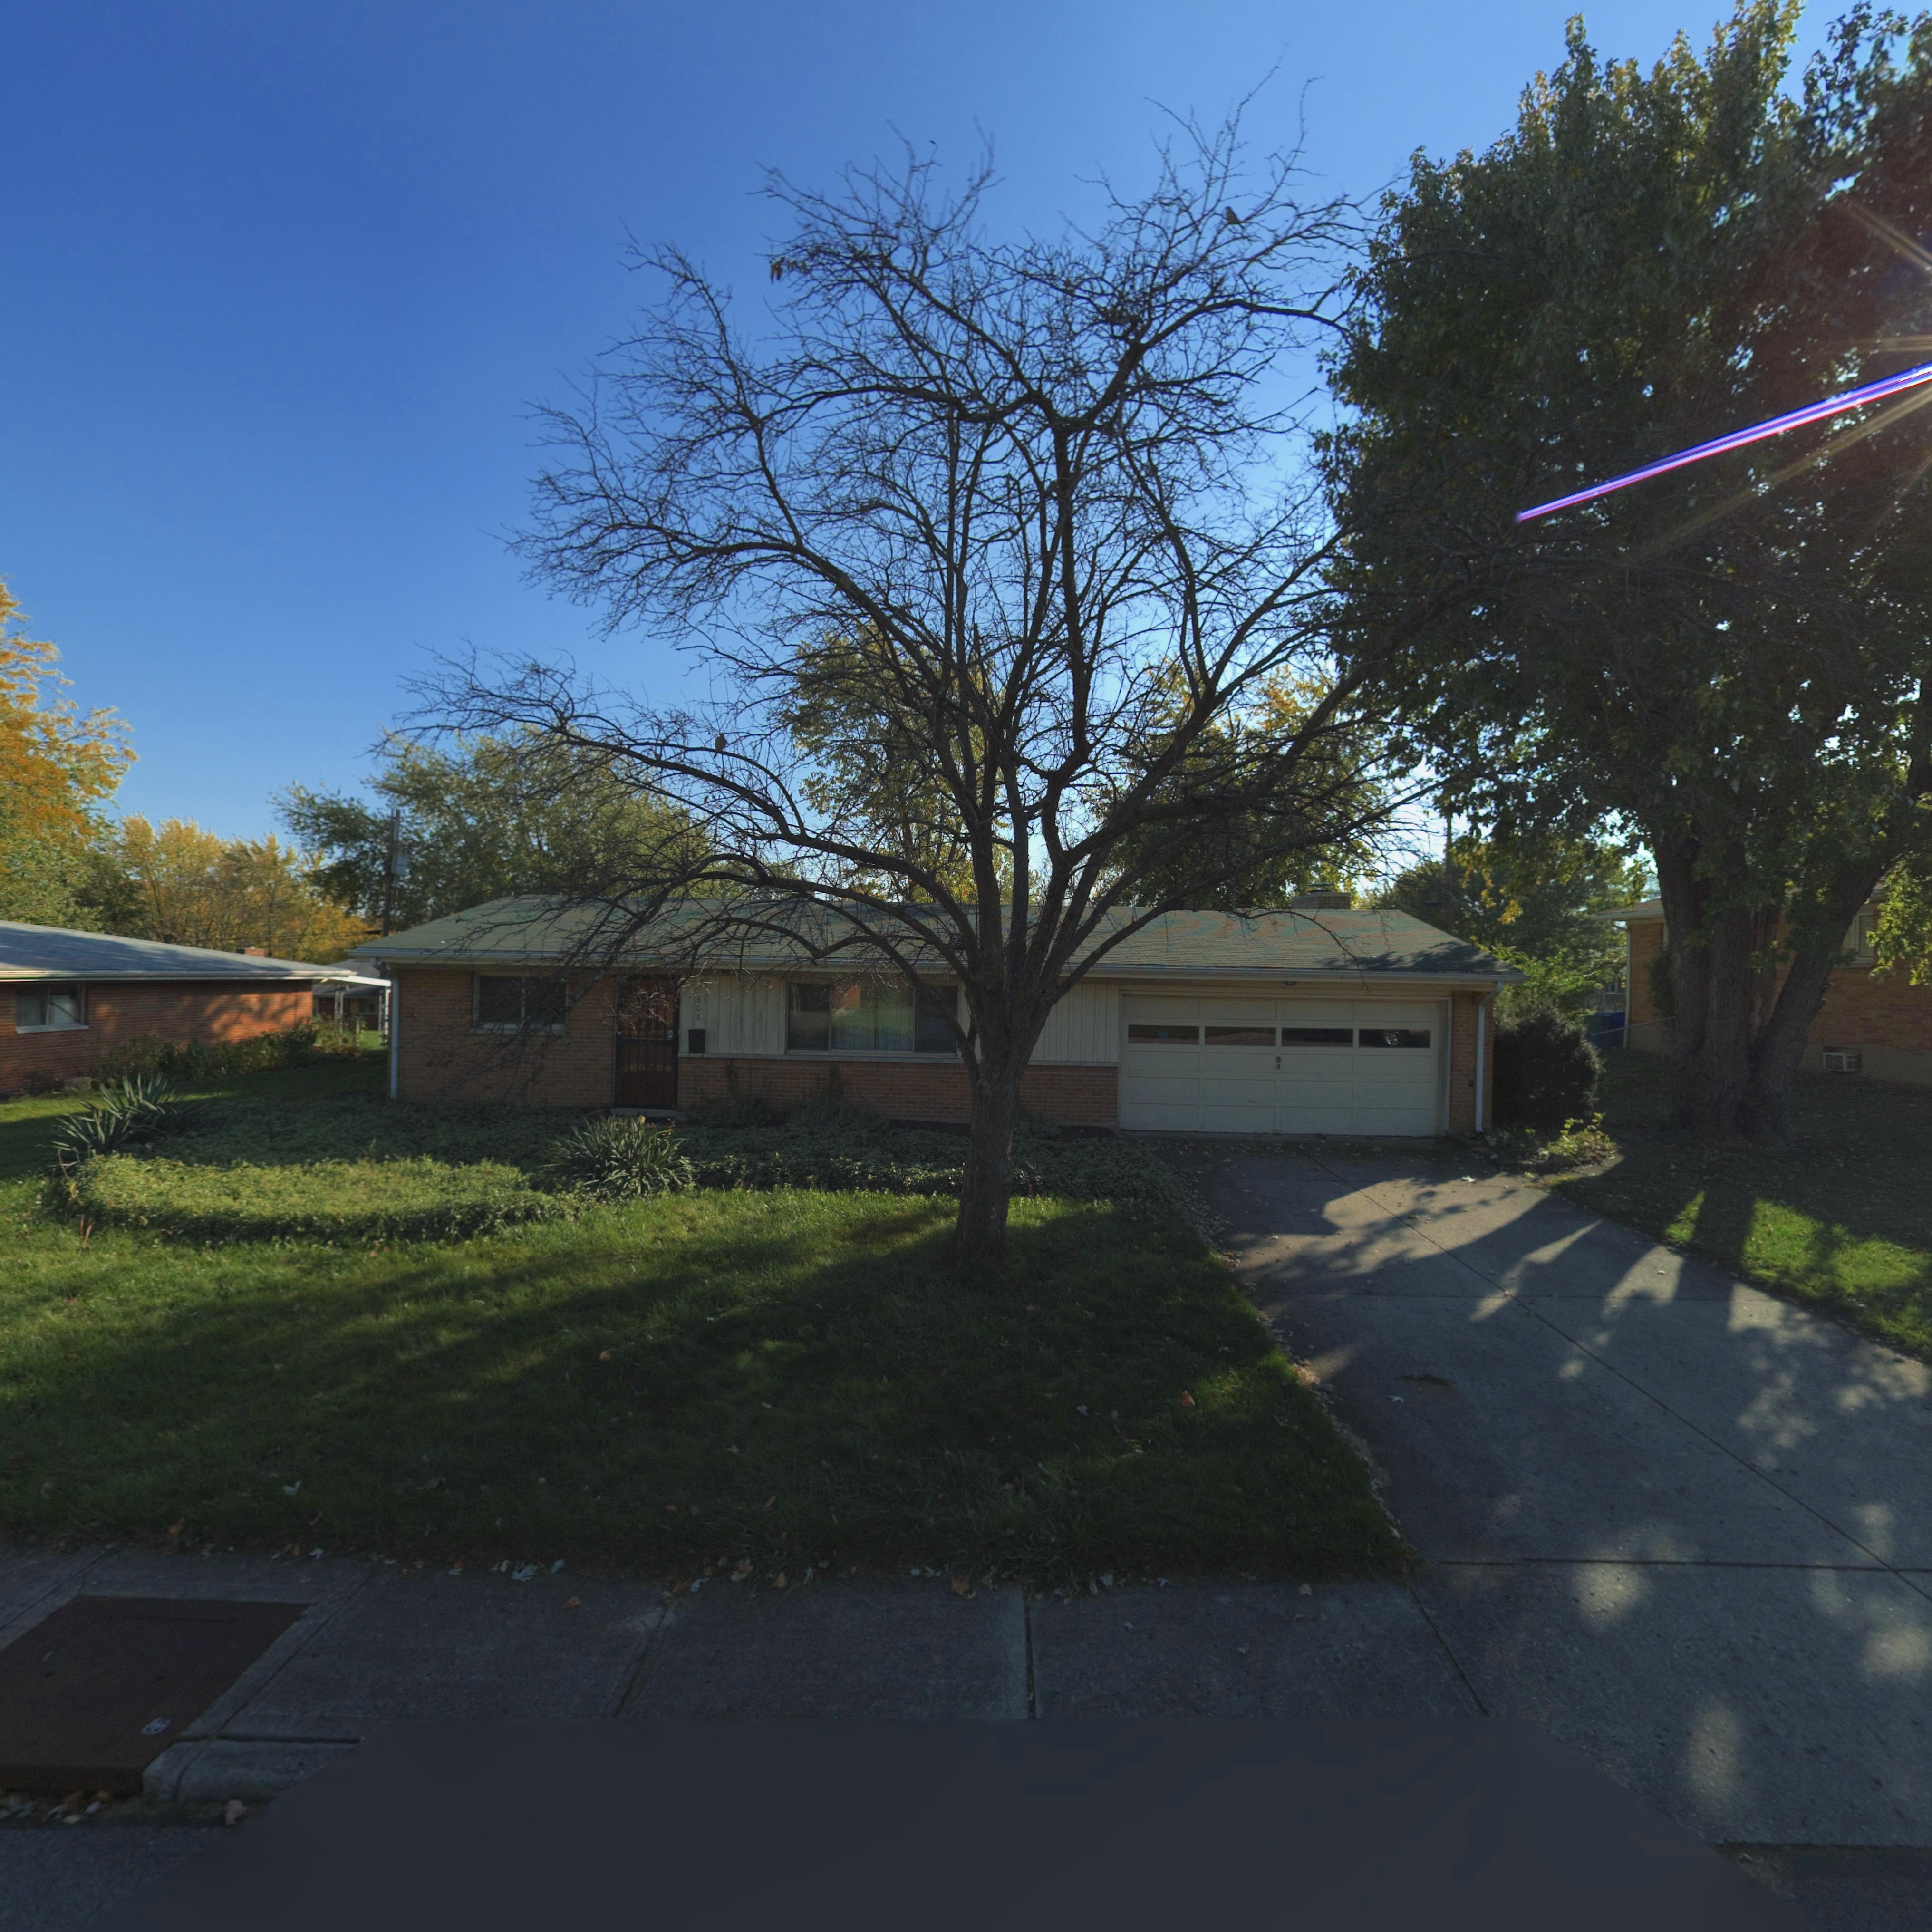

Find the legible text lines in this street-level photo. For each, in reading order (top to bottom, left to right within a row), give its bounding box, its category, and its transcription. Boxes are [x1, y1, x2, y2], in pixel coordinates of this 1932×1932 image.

[696, 995, 702, 1021] StreetNumber: 808